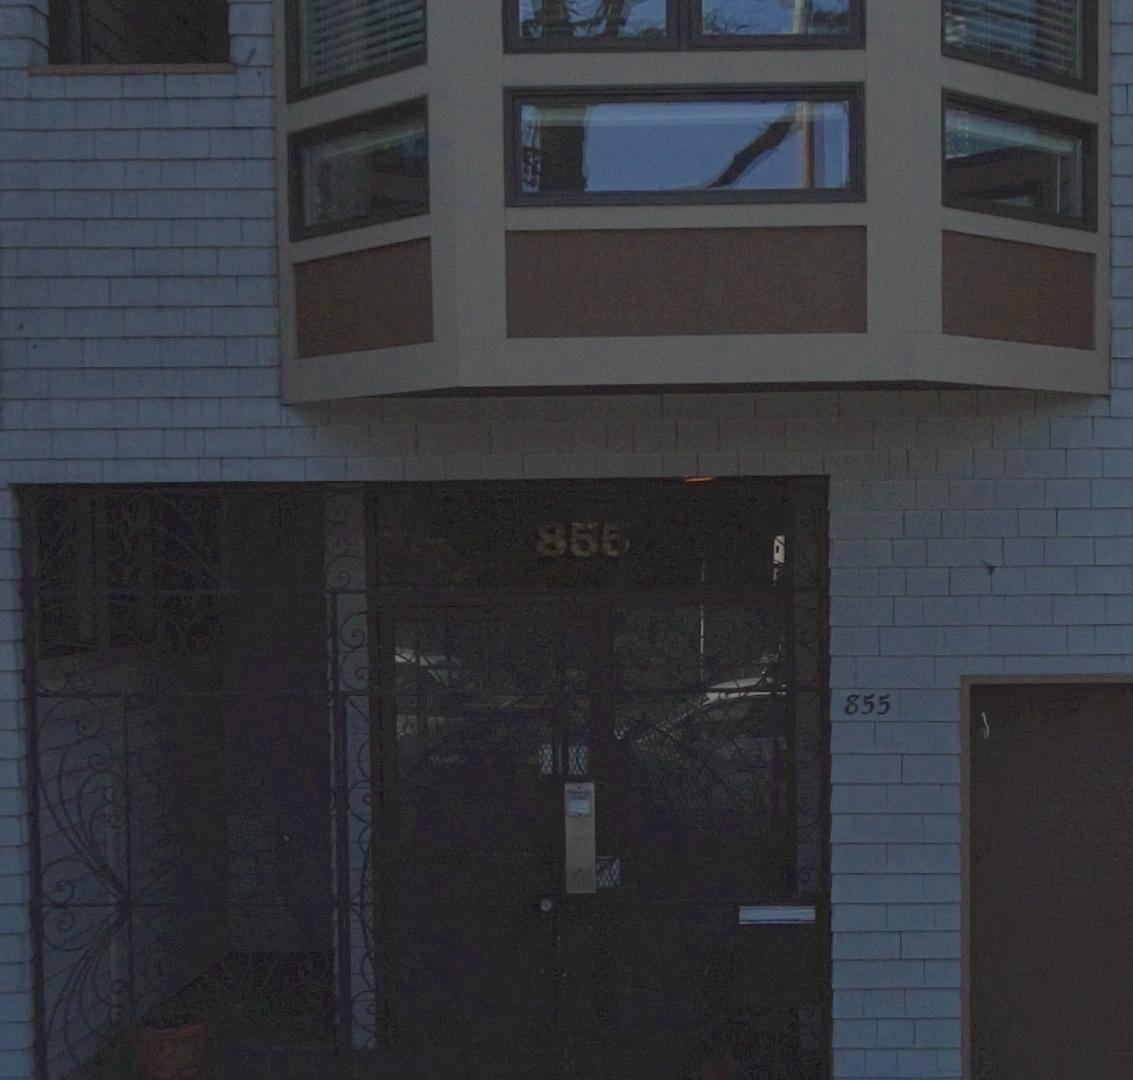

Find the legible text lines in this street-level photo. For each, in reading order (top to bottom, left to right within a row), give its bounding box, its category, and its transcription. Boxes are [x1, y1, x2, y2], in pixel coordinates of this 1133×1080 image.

[534, 518, 633, 562] StreetNumber: 855
[843, 692, 890, 714] StreetNumber: 855